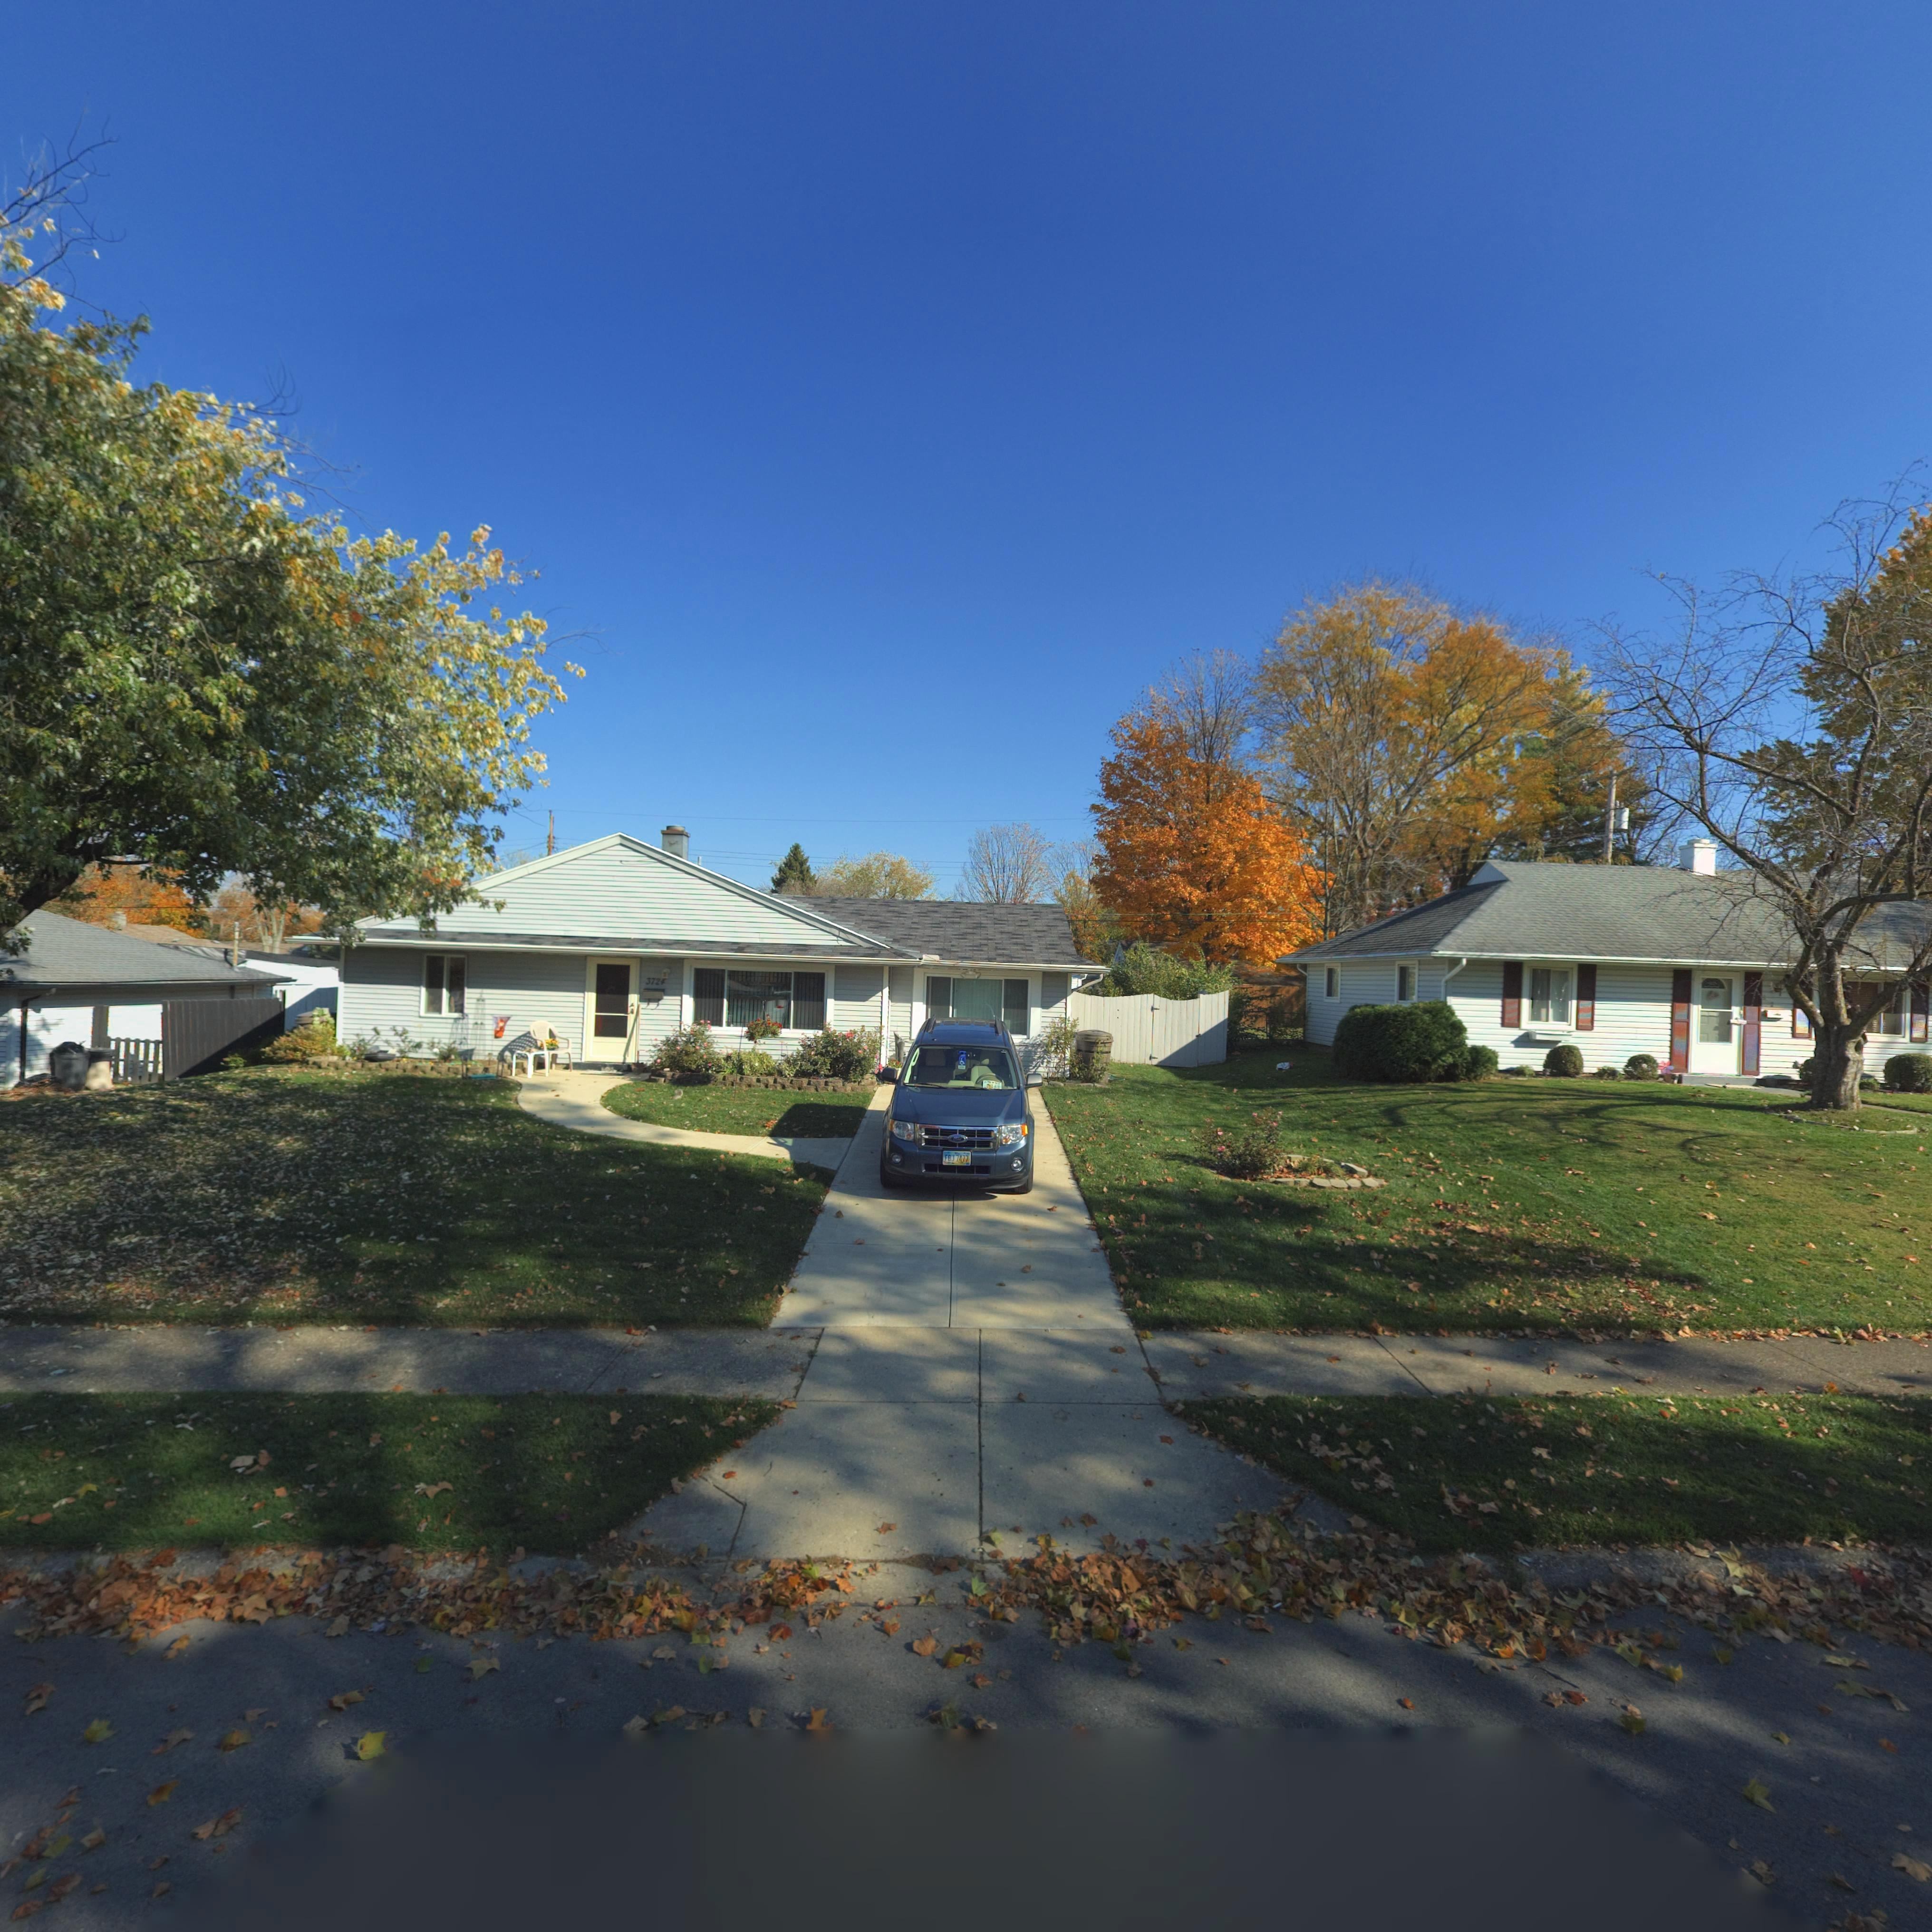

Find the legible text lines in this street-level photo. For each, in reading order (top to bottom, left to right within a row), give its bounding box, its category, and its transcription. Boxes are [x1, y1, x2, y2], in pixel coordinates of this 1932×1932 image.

[644, 977, 666, 985] StreetNumber: 3724
[944, 1154, 969, 1162] None: FBJ 7477